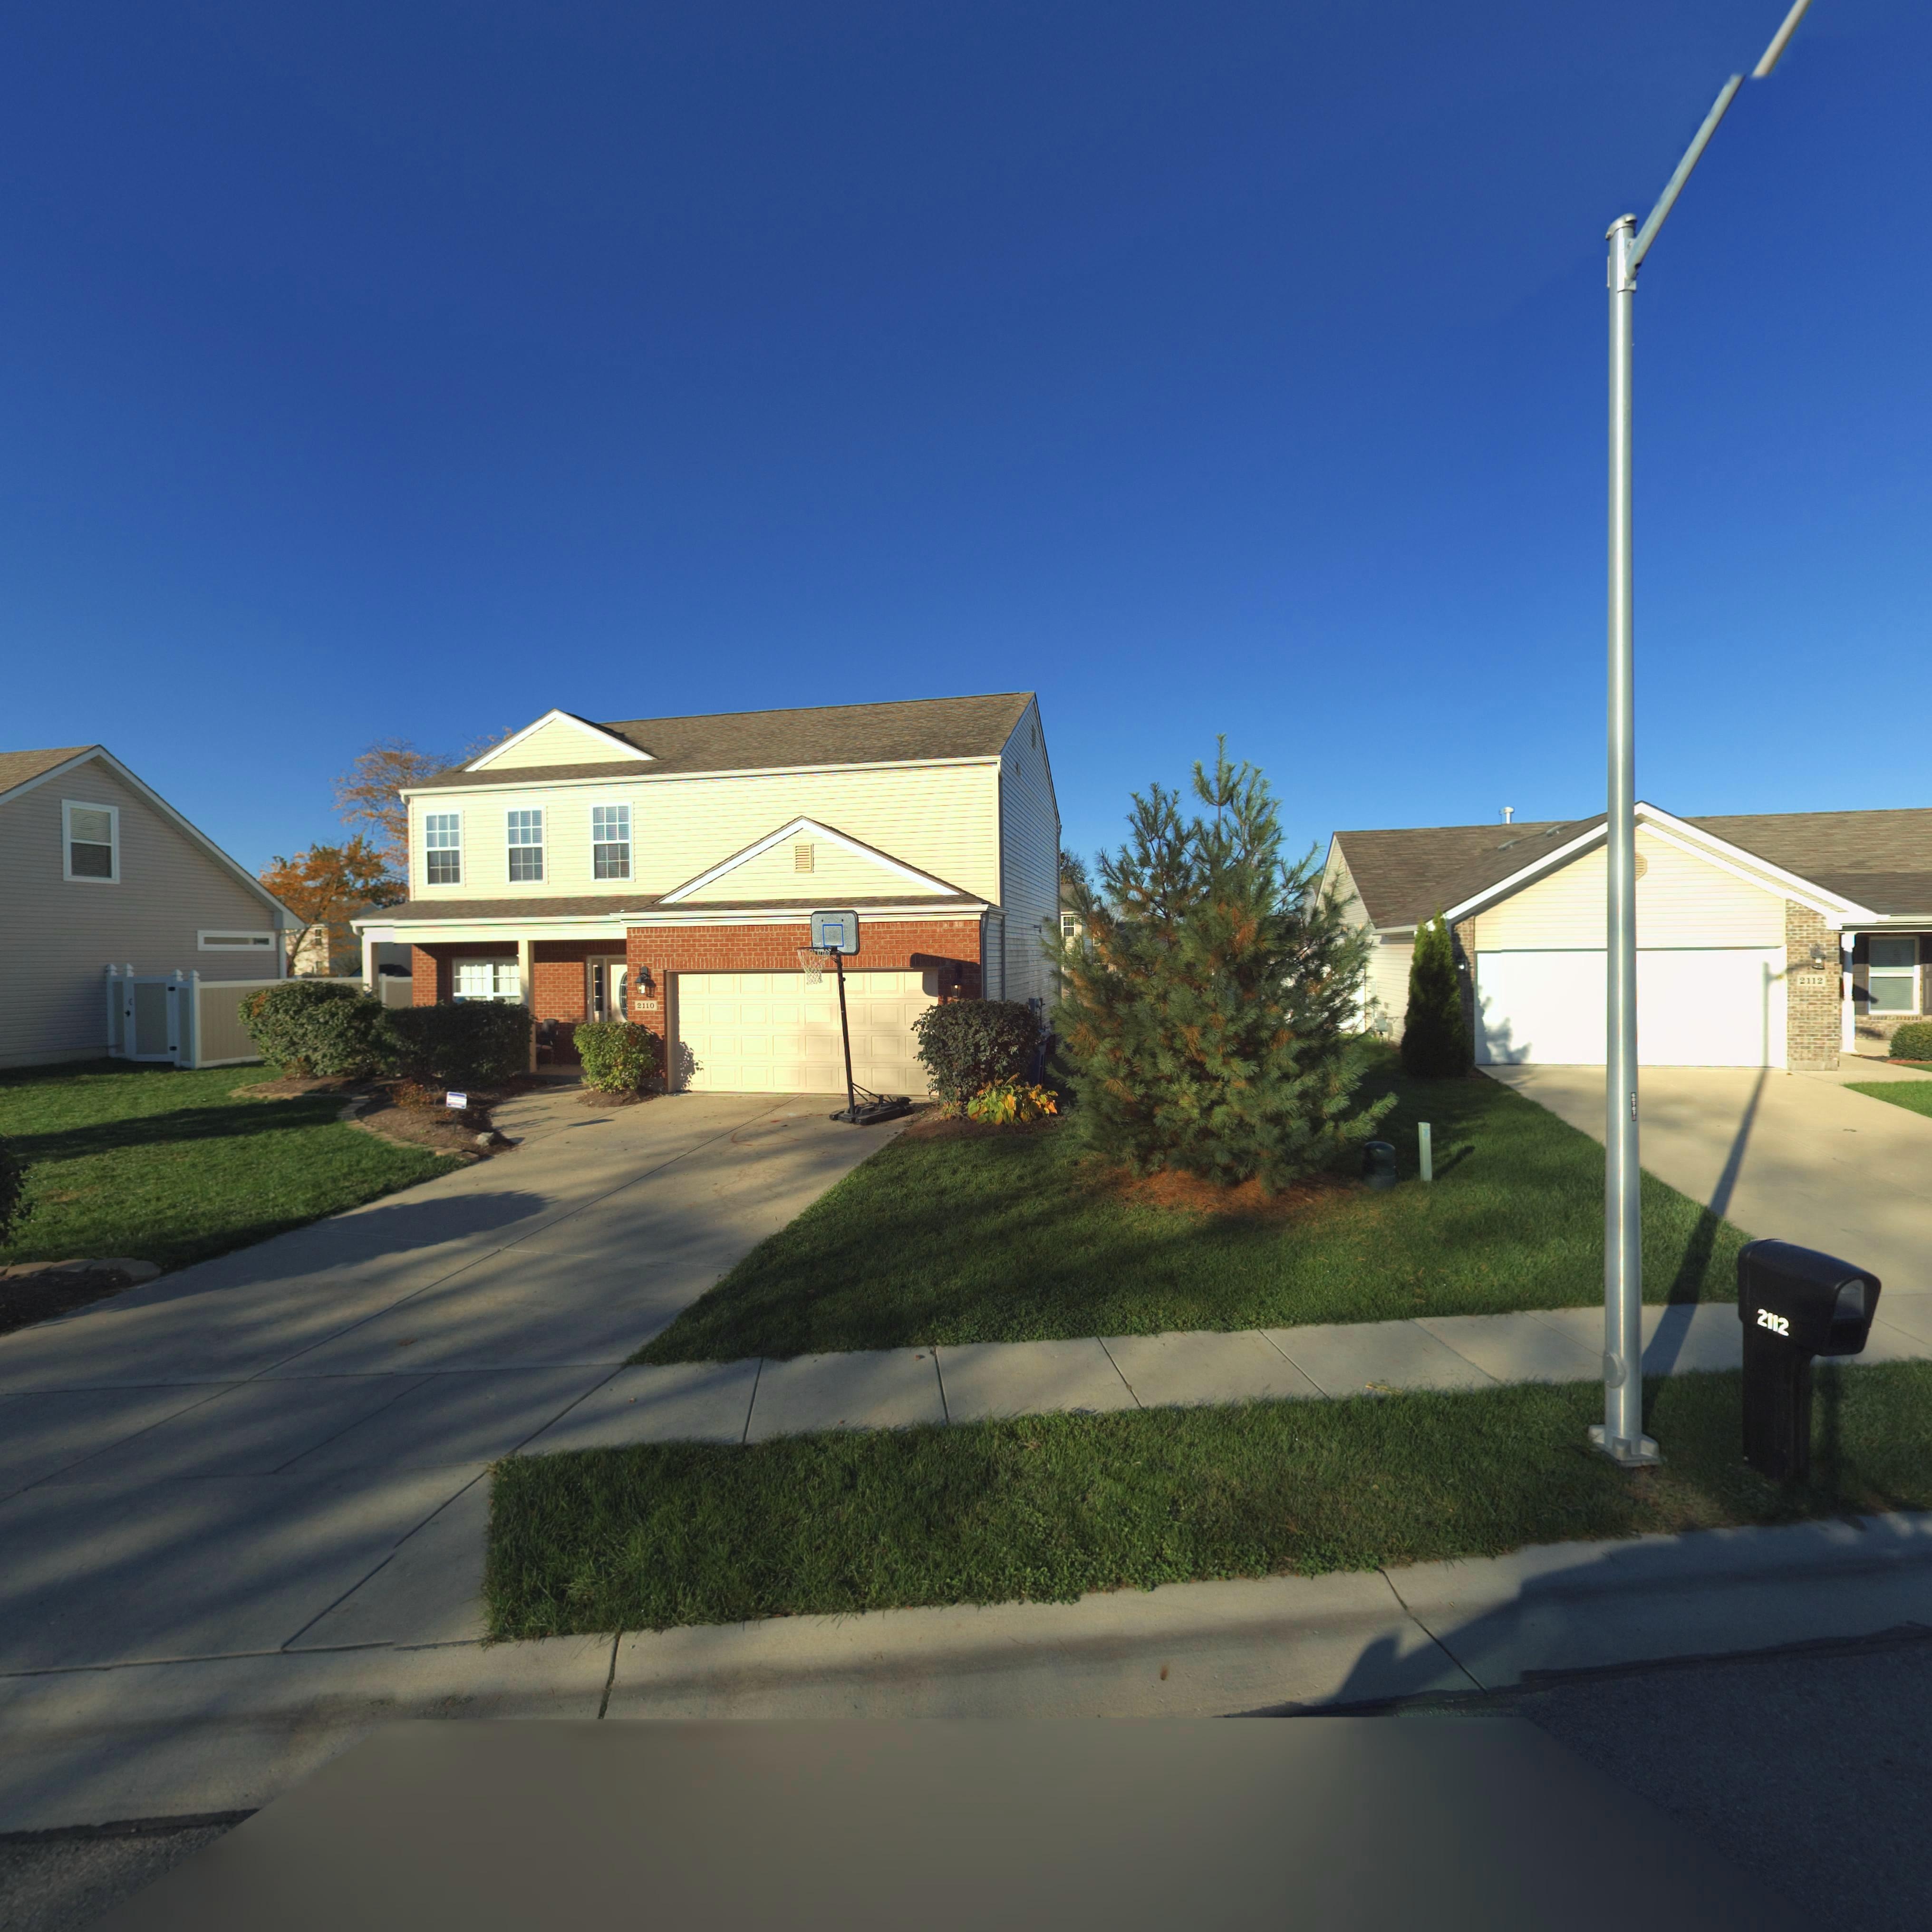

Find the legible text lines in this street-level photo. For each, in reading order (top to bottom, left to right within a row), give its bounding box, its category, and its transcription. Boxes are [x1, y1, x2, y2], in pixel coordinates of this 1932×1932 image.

[1798, 976, 1823, 985] StreetNumber: 2112
[636, 1001, 656, 1010] StreetNumber: 2110
[1754, 1305, 1793, 1339] StreetNumber: 2112\